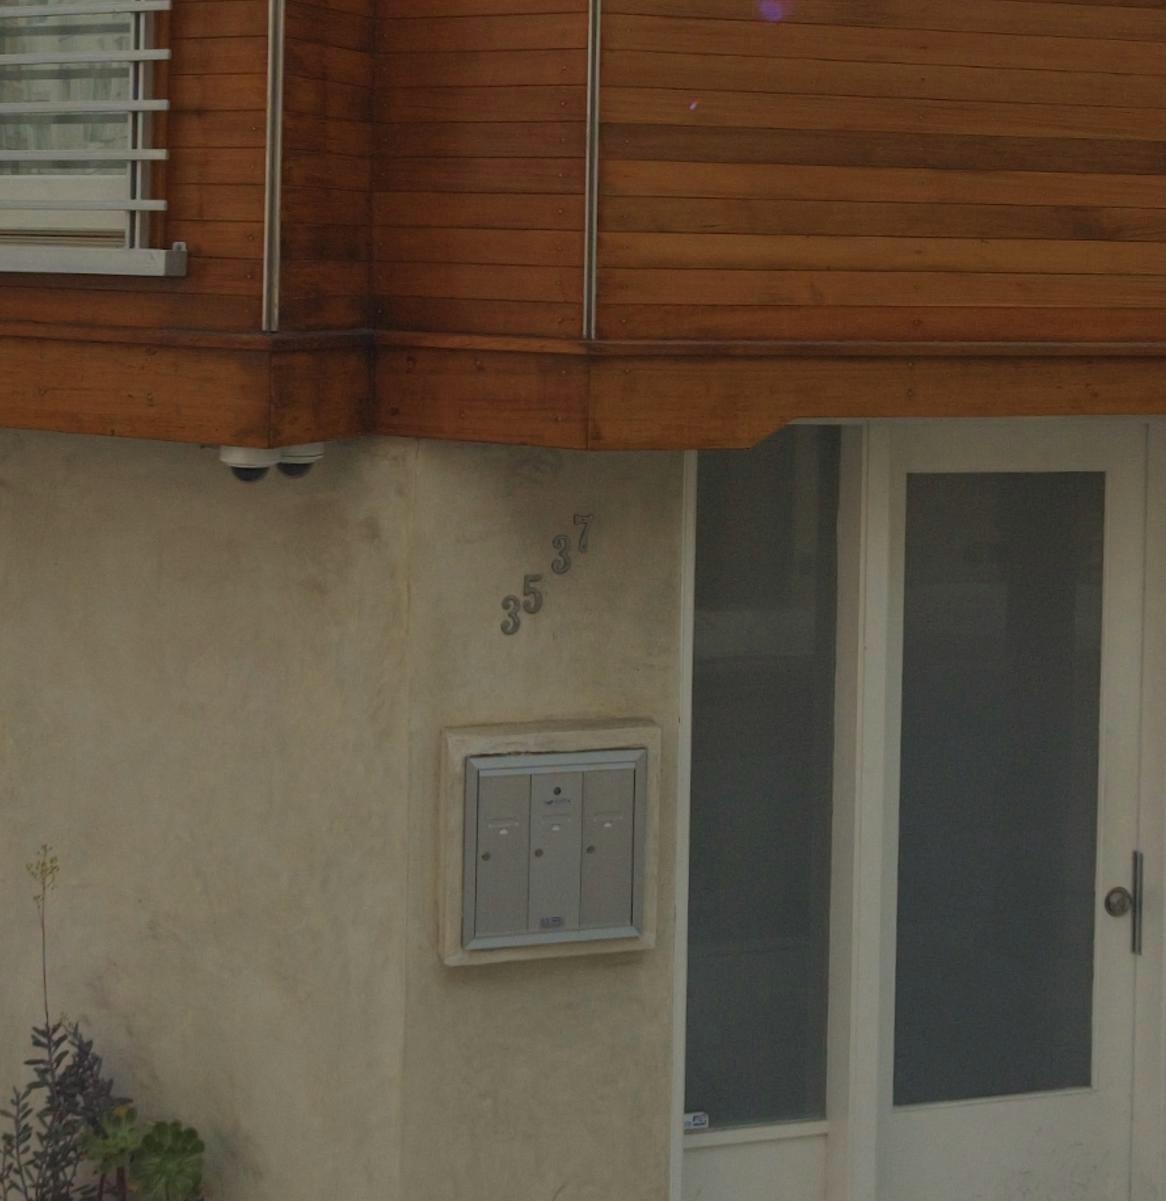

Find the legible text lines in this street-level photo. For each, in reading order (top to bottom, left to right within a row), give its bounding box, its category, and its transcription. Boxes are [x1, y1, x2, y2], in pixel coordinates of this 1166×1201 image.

[551, 511, 596, 577] StreetNumber: 37
[498, 572, 545, 638] StreetNumber: 35